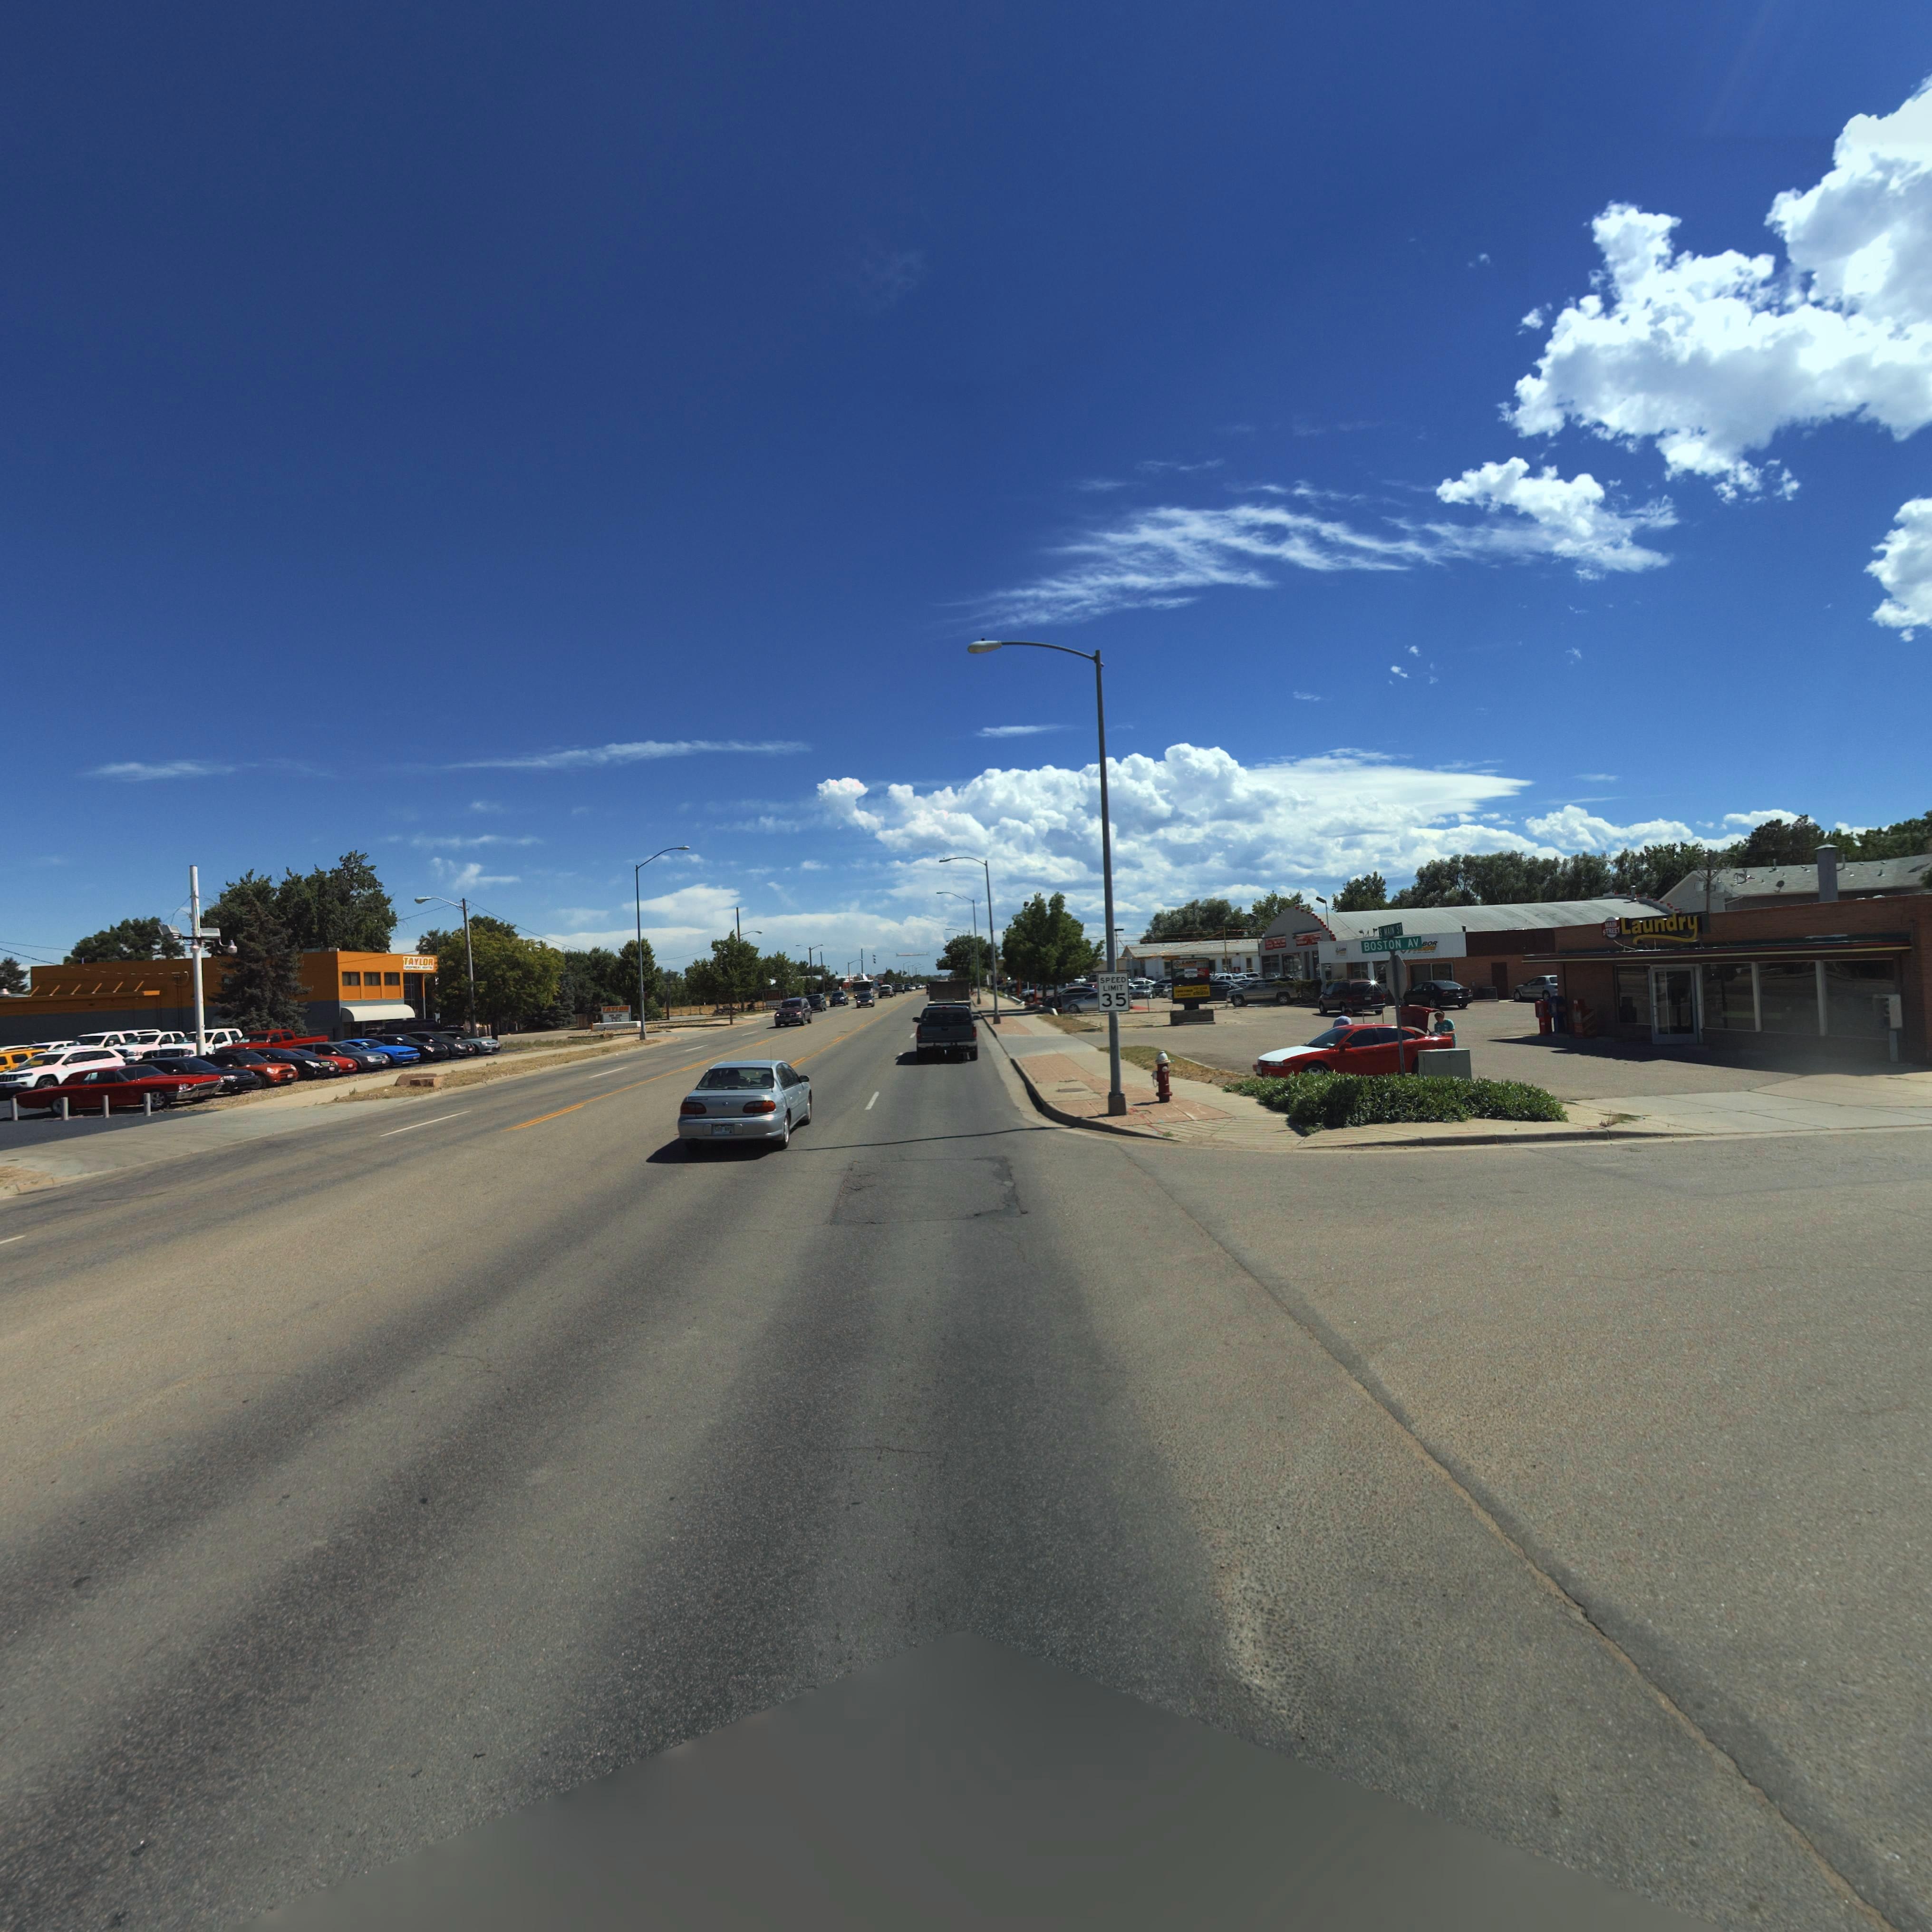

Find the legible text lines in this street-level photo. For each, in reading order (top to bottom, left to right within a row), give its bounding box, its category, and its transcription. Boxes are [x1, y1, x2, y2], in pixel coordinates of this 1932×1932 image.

[1604, 921, 1617, 928] BusinessName: MAIN
[1620, 912, 1698, 939] BusinessName: Laundry
[1379, 924, 1402, 937] StreetName: S MAIN ST
[1603, 926, 1620, 936] BusinessName: STREET
[1363, 937, 1419, 951] StreetName: BOSTON AV
[1421, 940, 1438, 946] BusinessName: BOR
[1423, 946, 1437, 951] BusinessName: ERS
[404, 957, 433, 966] BusinessName: TAYLOR
[1181, 960, 1197, 964] BusinessName: L*BO*
[1175, 970, 1205, 977] BusinessName: **** *****O****
[601, 1005, 629, 1012] BusinessName: TAYLOR